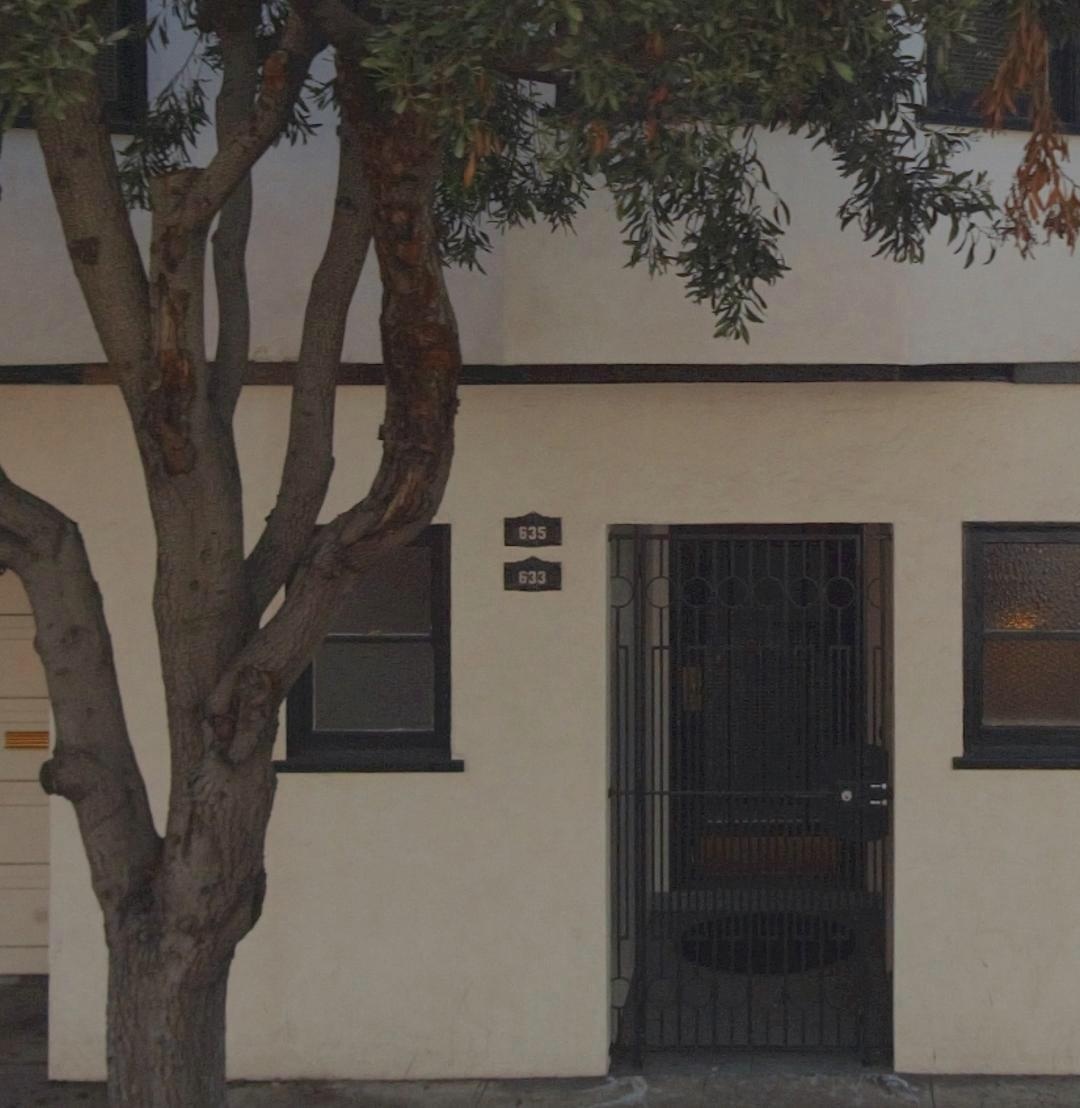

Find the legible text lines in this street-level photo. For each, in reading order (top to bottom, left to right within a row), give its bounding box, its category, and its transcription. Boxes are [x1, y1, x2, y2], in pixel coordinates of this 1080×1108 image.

[517, 524, 549, 542] StreetNumber: 635
[516, 568, 549, 587] StreetNumber: 633